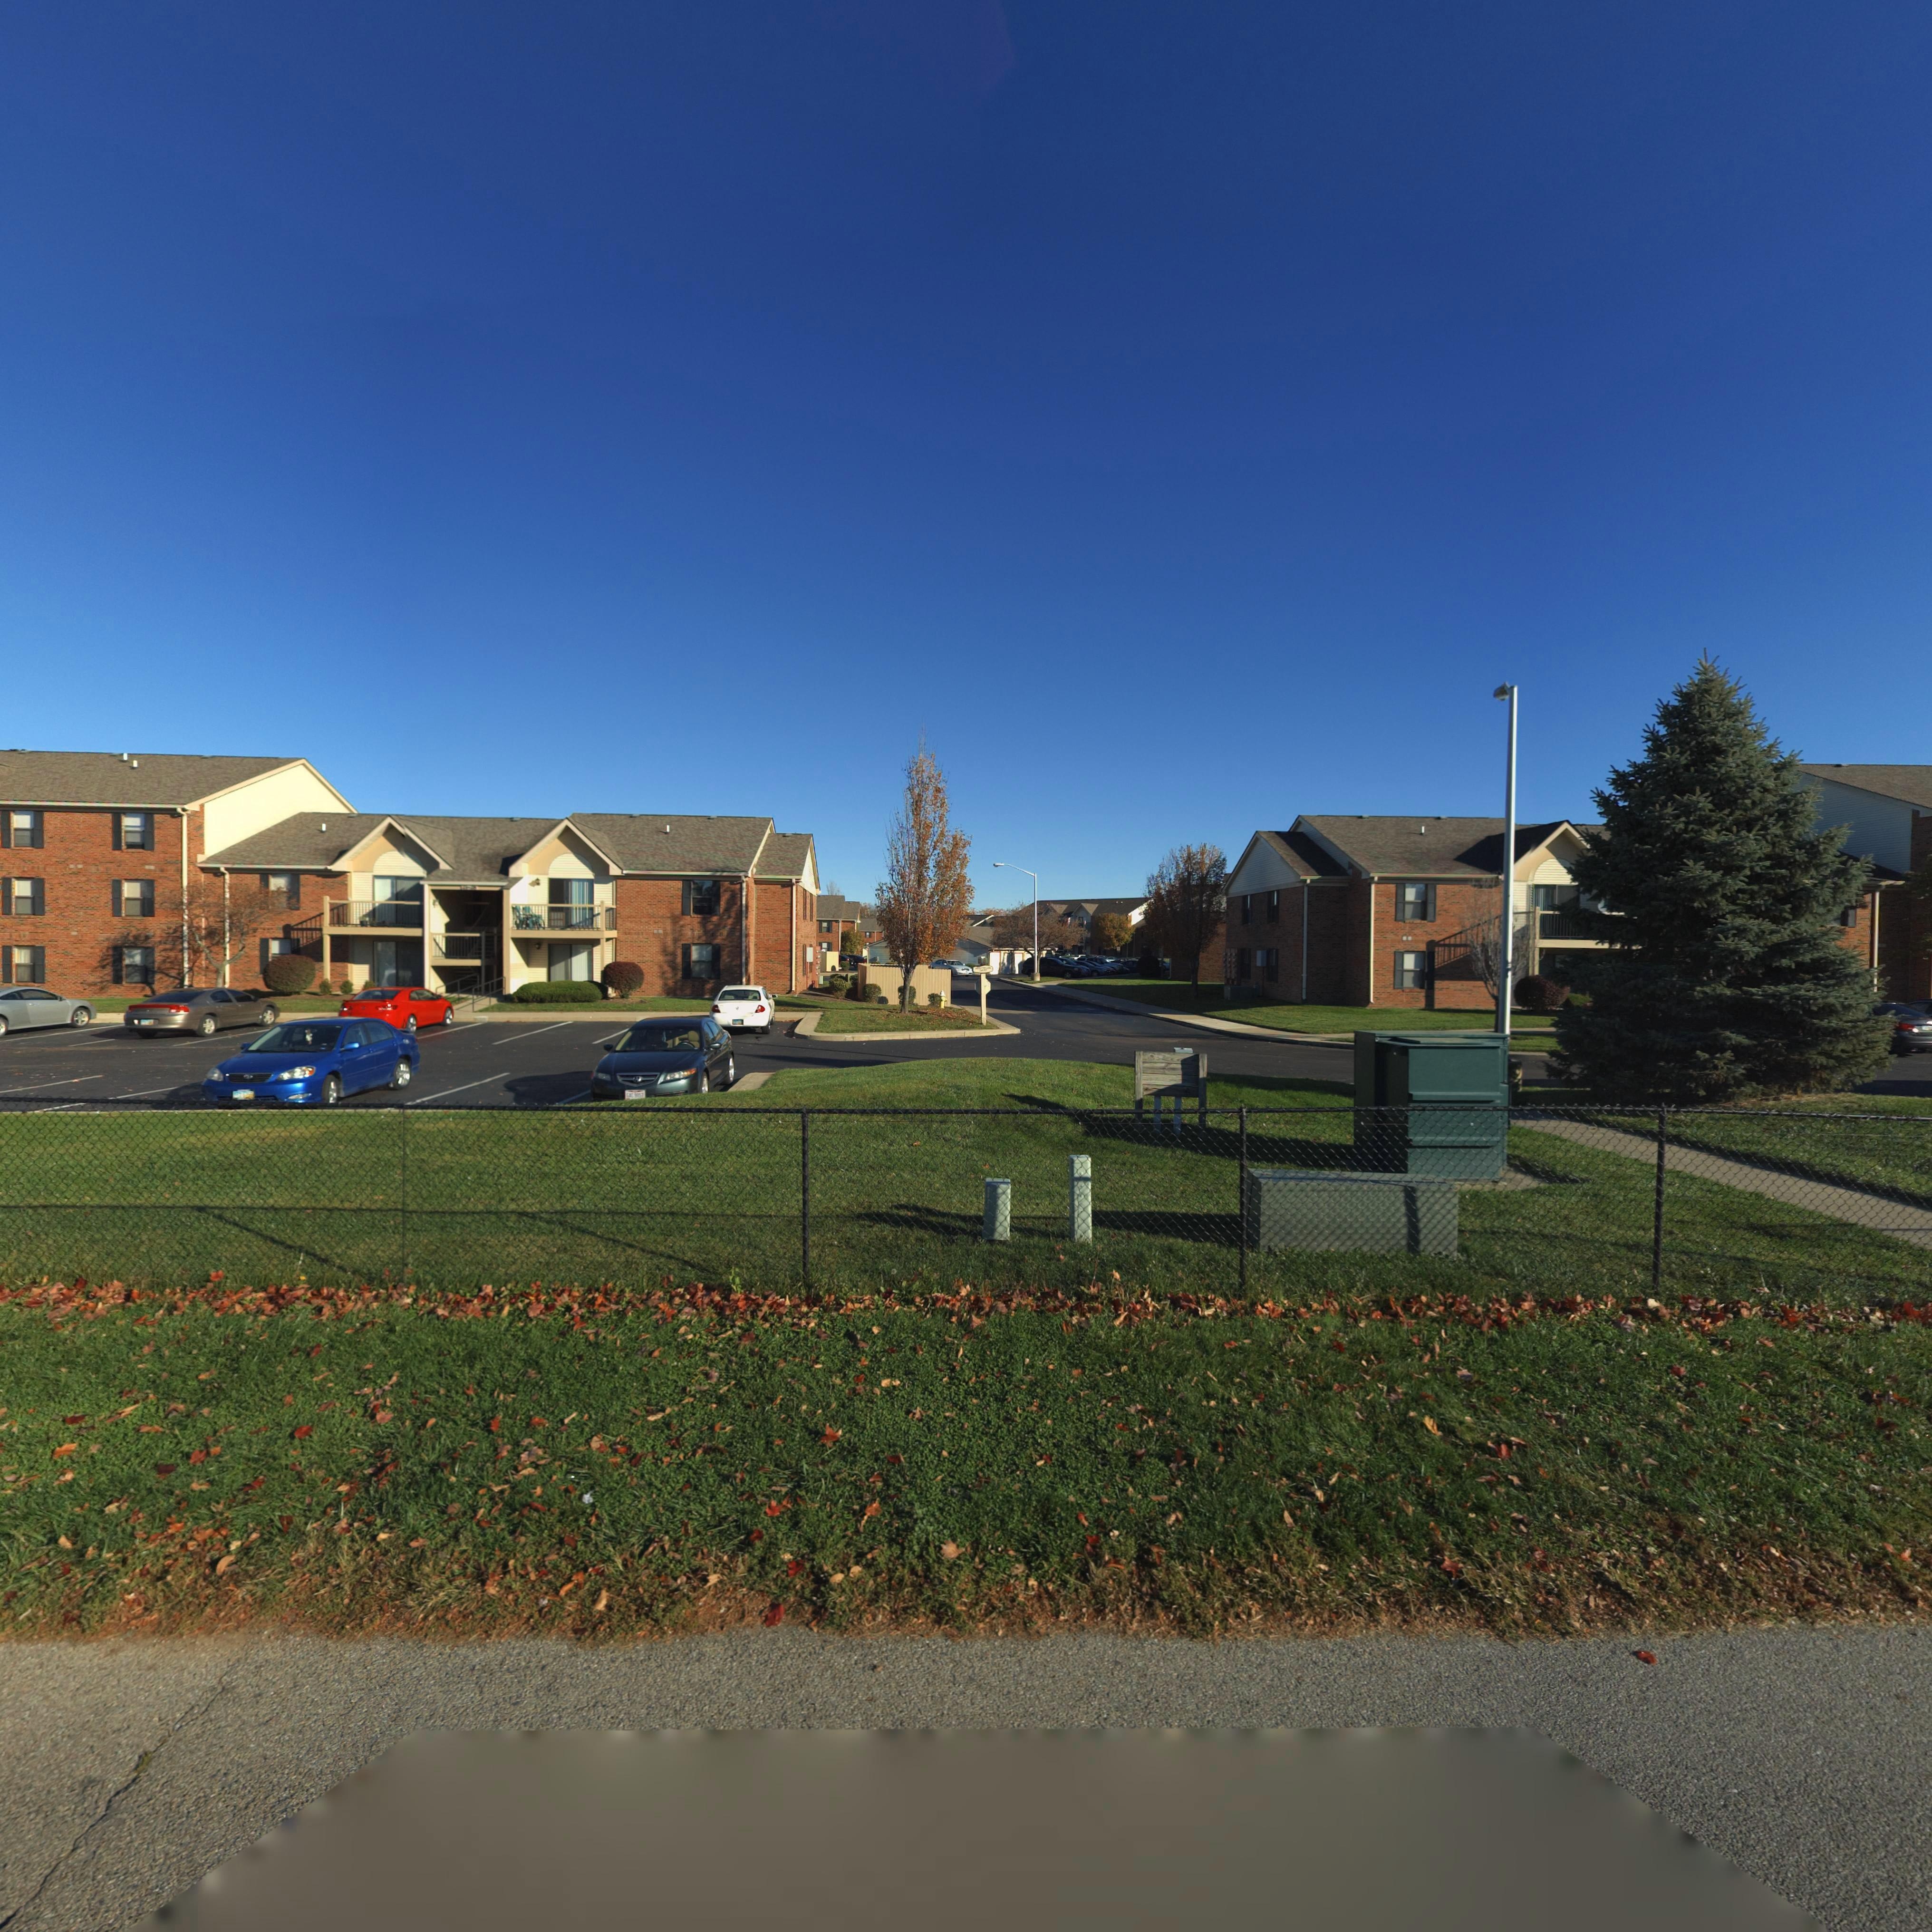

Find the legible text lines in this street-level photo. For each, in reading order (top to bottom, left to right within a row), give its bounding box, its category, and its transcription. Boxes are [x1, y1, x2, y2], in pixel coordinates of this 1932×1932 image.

[470, 885, 476, 890] StreetNumber: *8